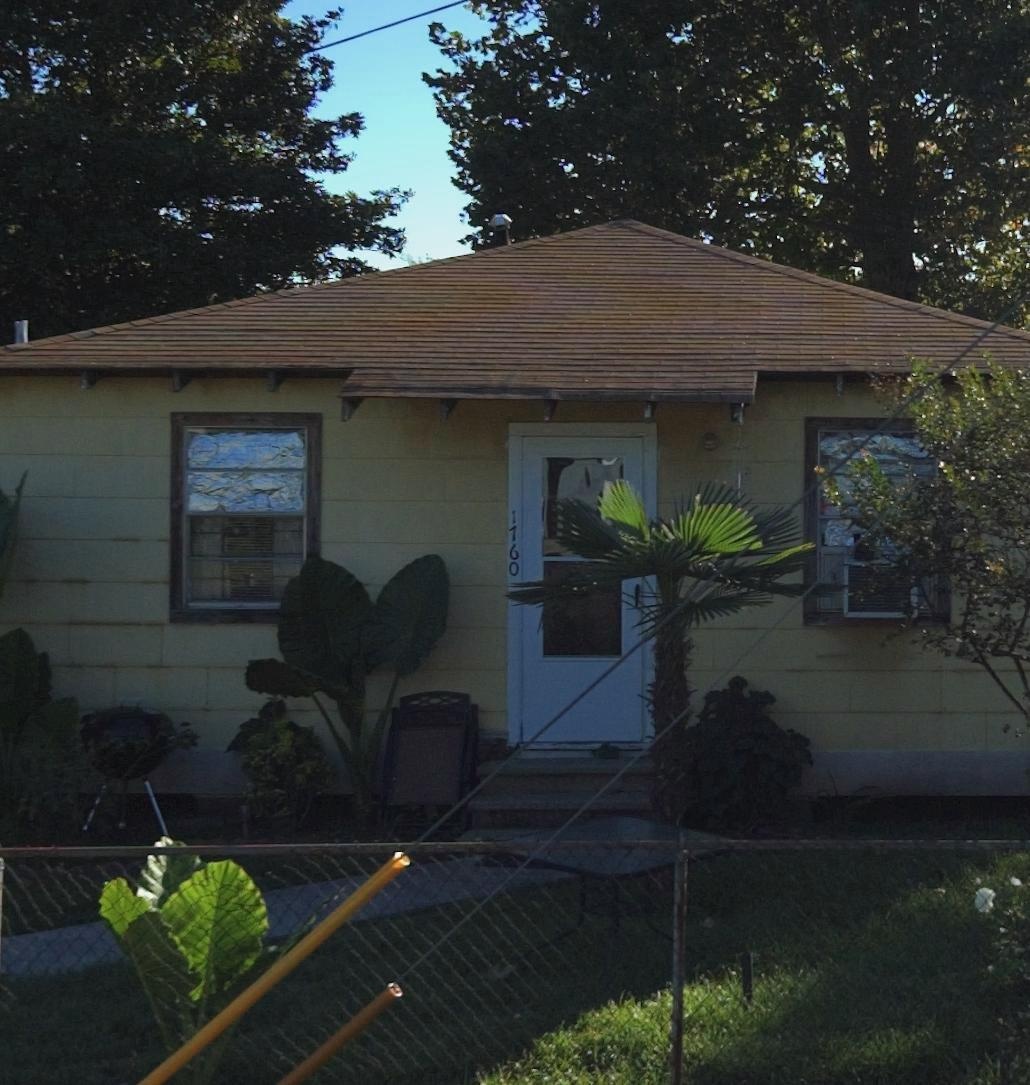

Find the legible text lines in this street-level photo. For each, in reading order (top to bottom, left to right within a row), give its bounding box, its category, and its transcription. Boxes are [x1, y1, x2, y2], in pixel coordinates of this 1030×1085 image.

[507, 508, 521, 578] StreetNumber: 1760